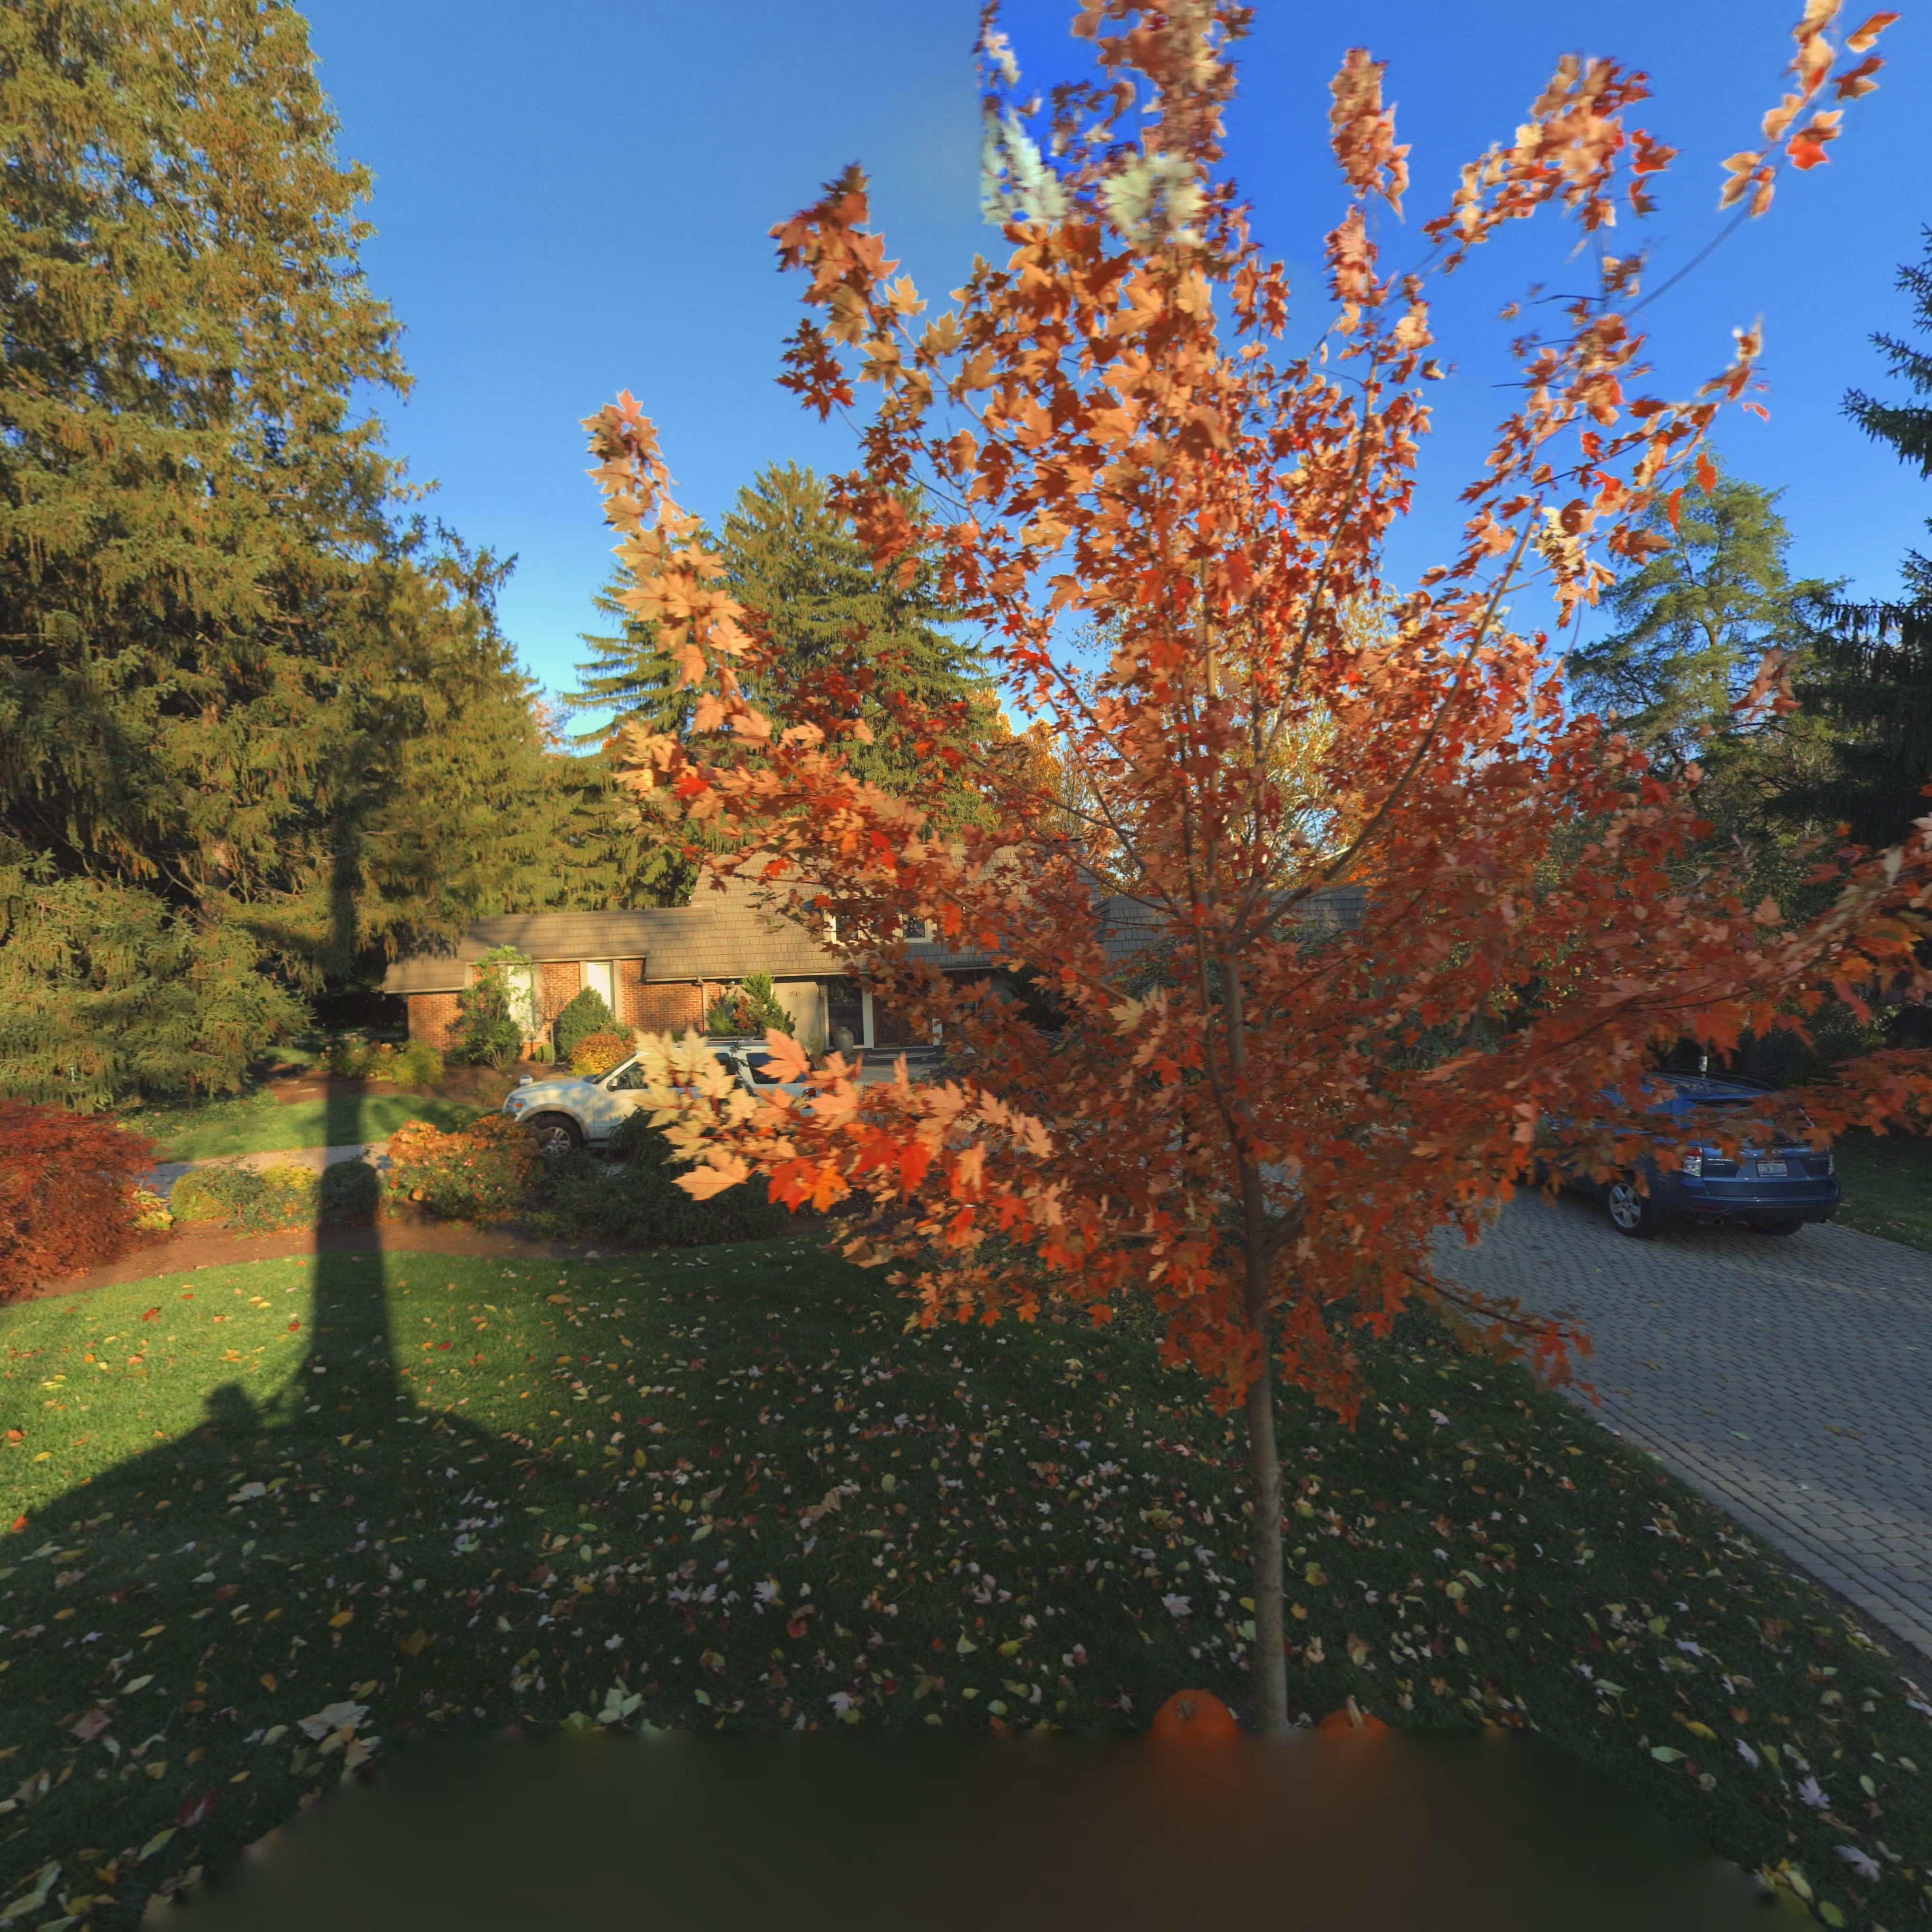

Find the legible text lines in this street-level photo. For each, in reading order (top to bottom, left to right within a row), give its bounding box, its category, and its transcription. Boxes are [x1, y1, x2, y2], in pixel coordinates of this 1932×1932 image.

[787, 990, 801, 997] StreetNumber: 3516